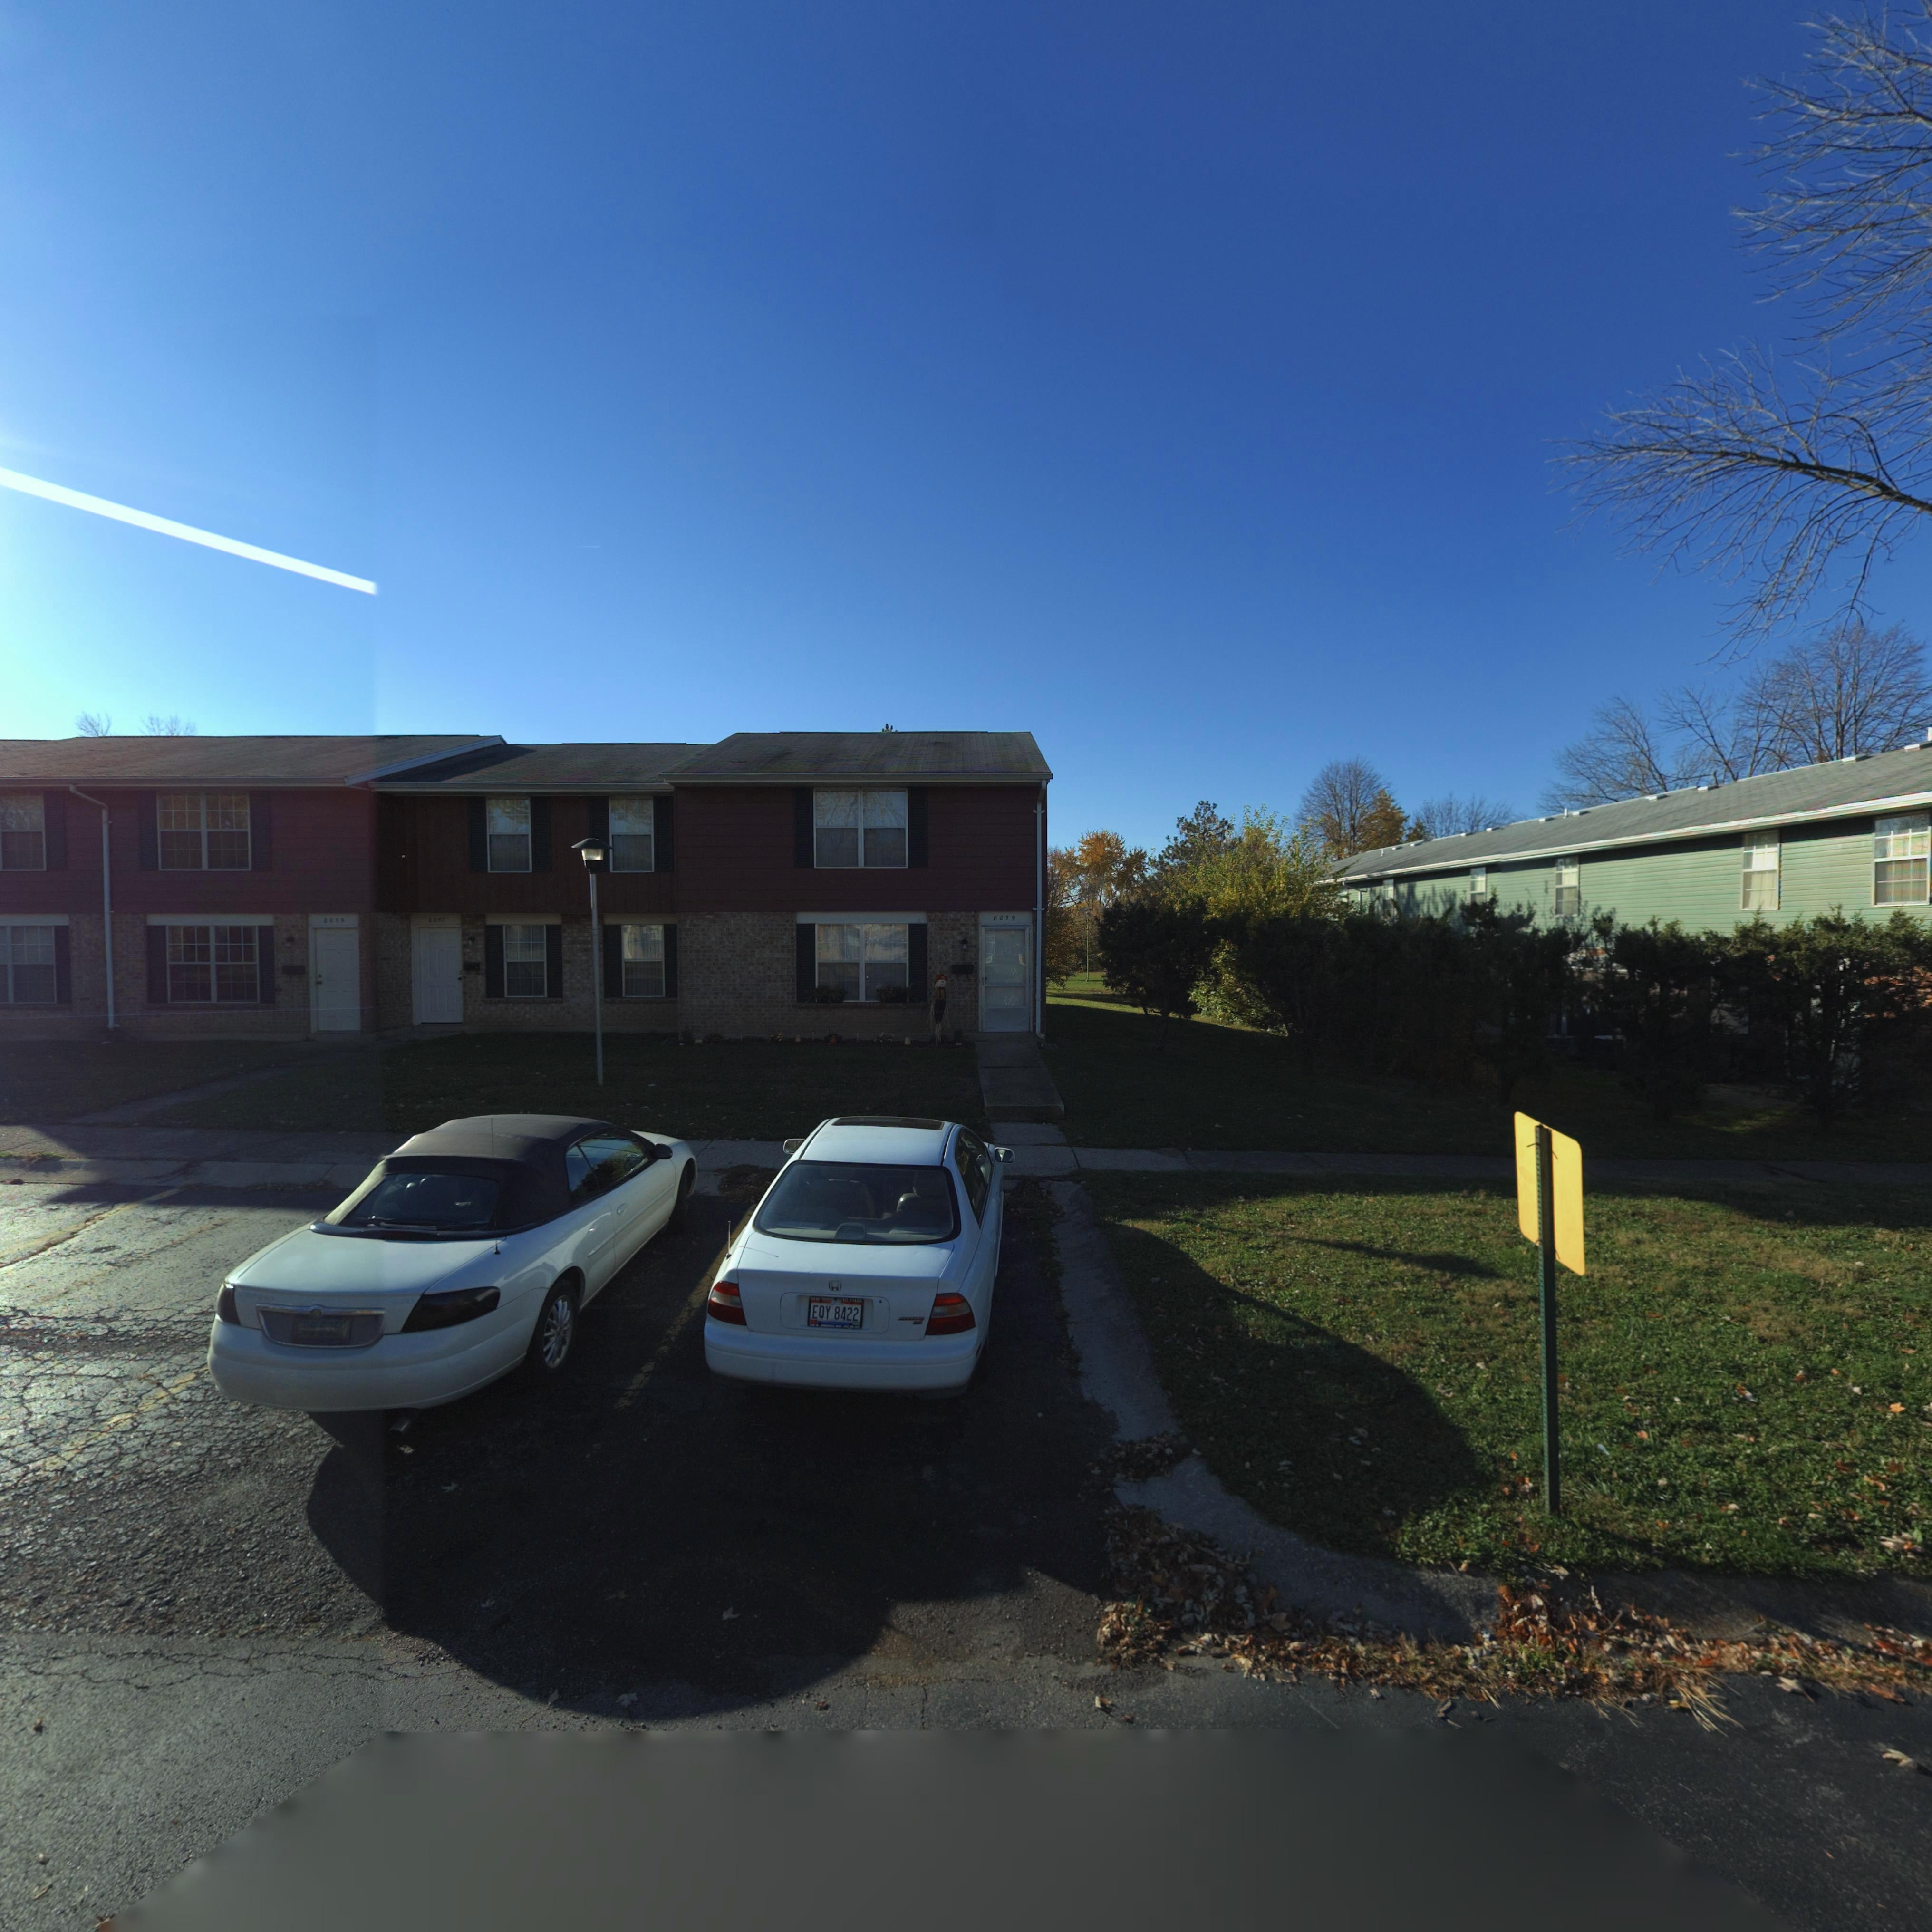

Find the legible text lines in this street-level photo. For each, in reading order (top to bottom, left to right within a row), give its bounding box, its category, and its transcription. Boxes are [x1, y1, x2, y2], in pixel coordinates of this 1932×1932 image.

[322, 917, 346, 924] StreetNumber: *0**
[428, 917, 446, 924] StreetNumber: *0*7
[993, 914, 1016, 922] StreetNumber: 8059